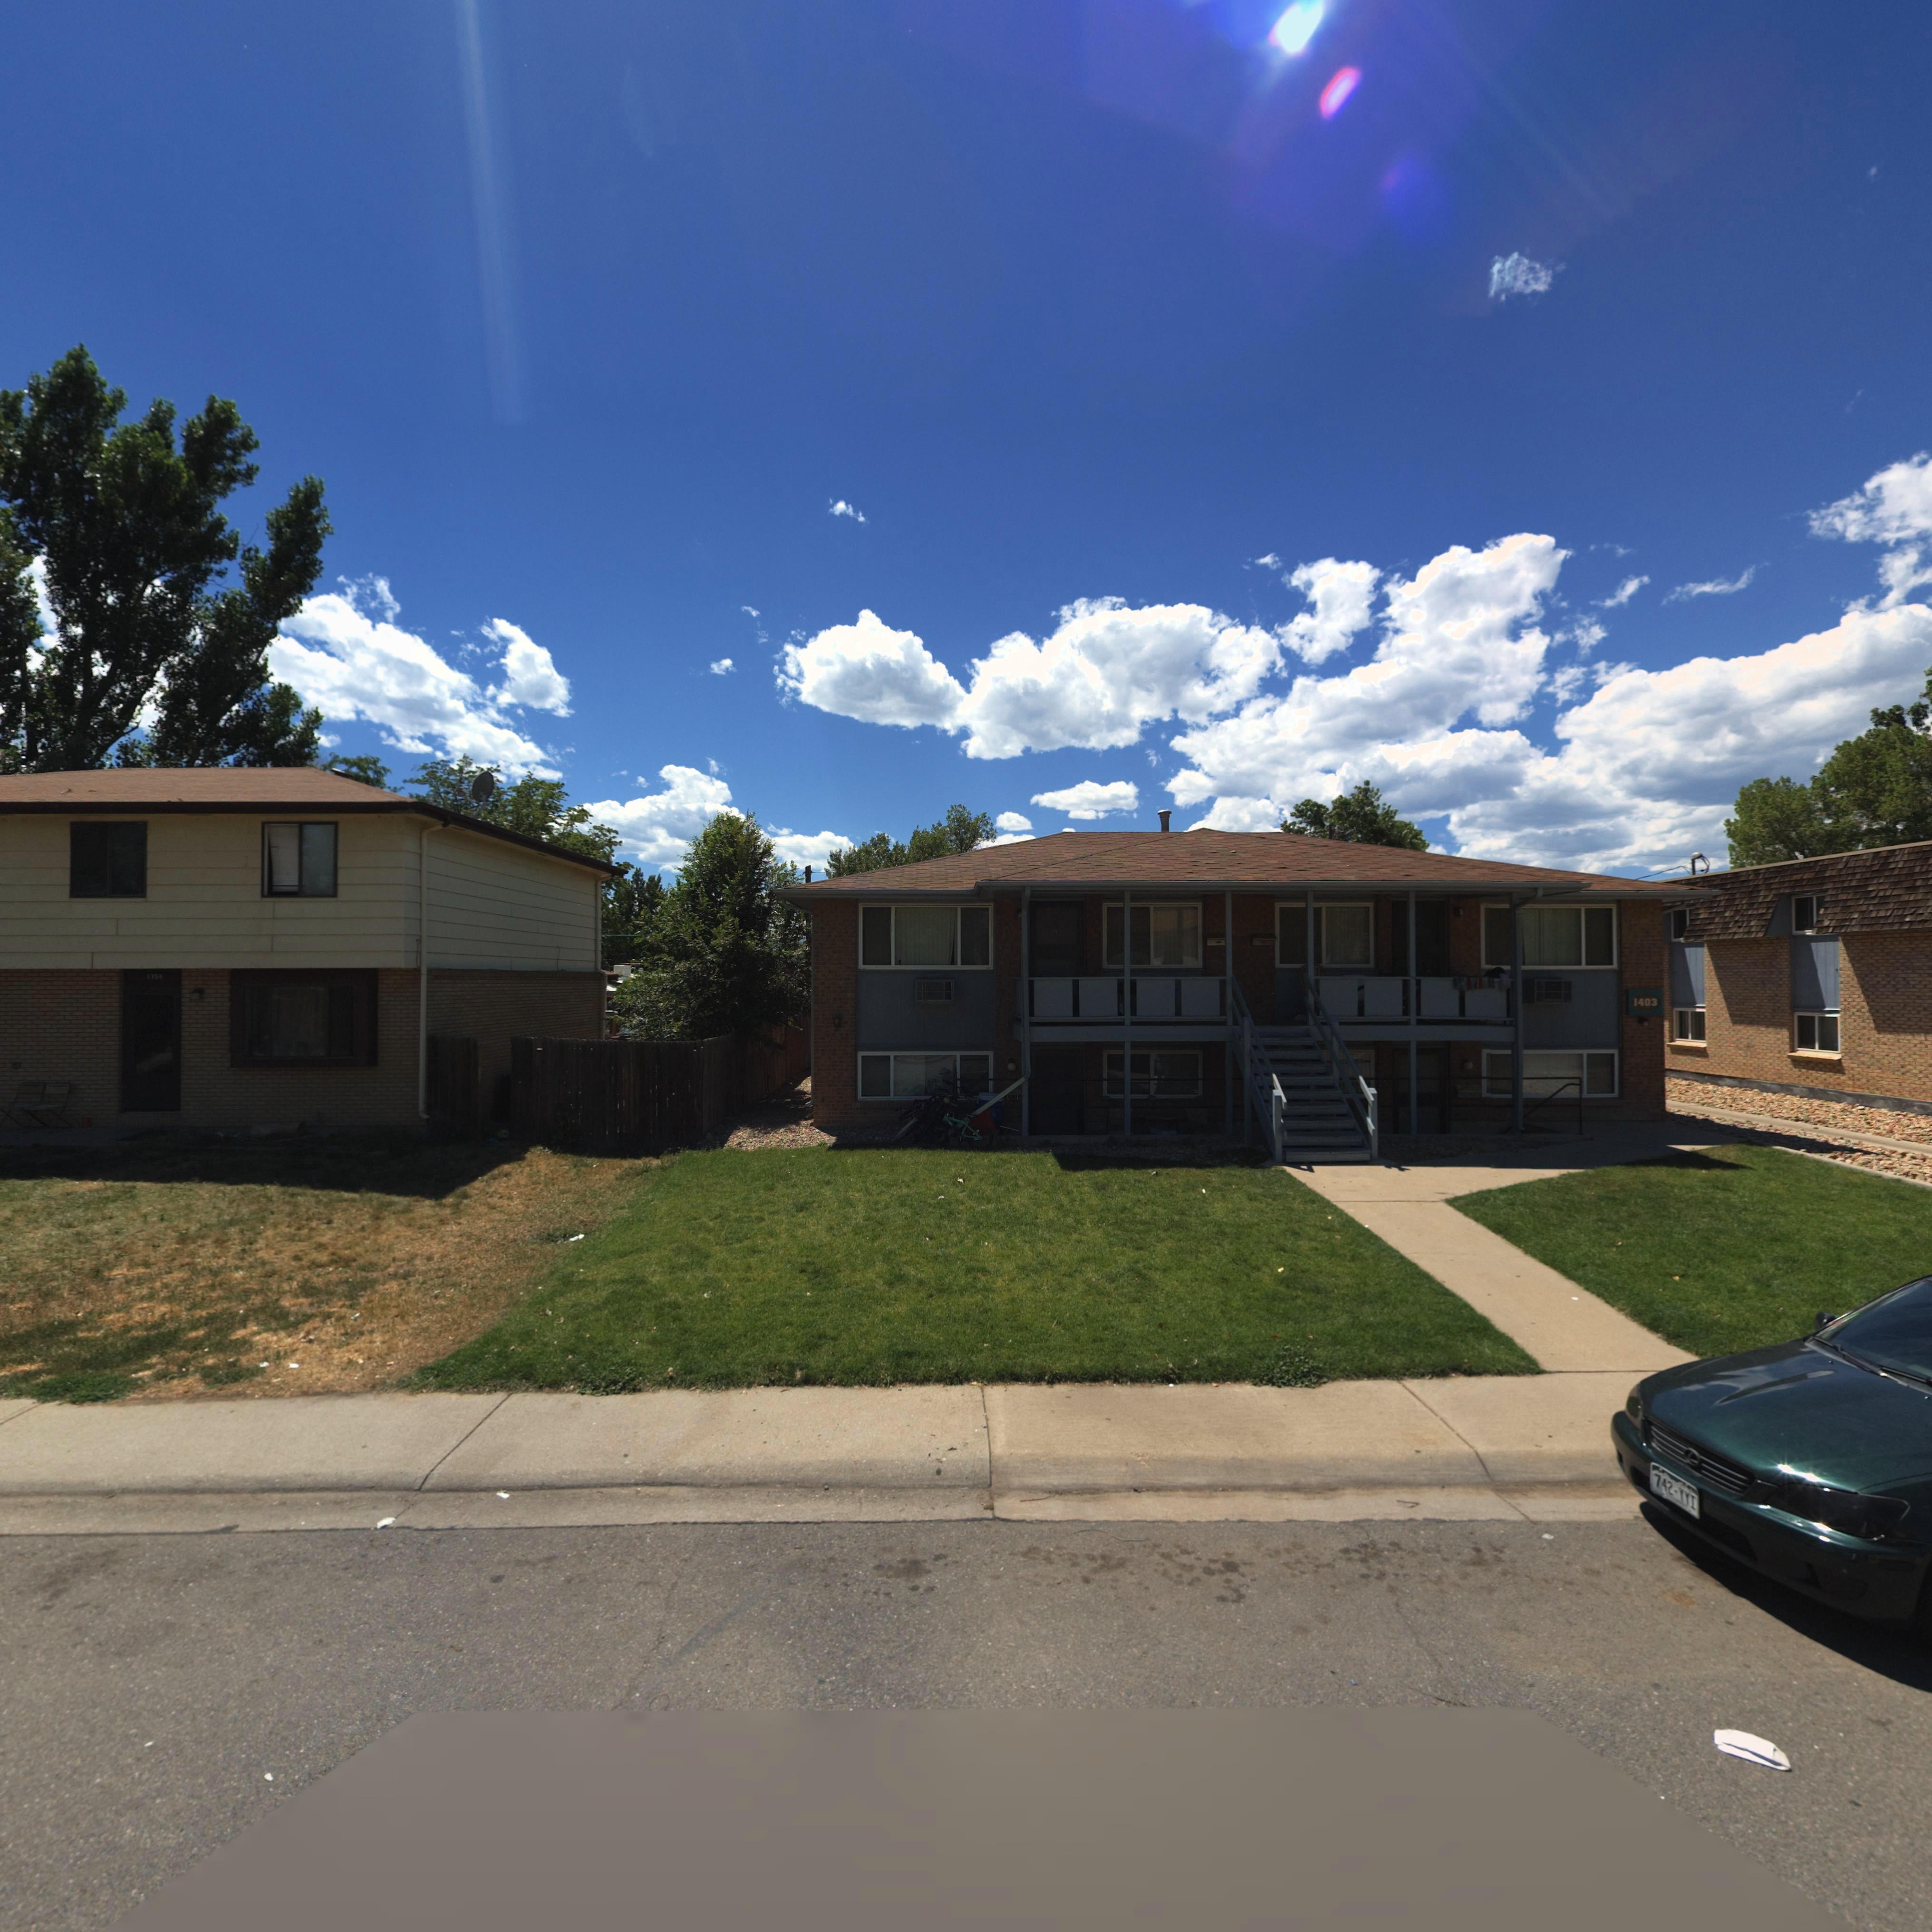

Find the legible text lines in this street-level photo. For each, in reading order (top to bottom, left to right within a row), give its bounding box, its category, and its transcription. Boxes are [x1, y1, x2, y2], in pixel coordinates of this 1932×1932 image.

[146, 972, 163, 980] StreetNumber: 1359
[1633, 997, 1658, 1006] StreetNumber: 1403